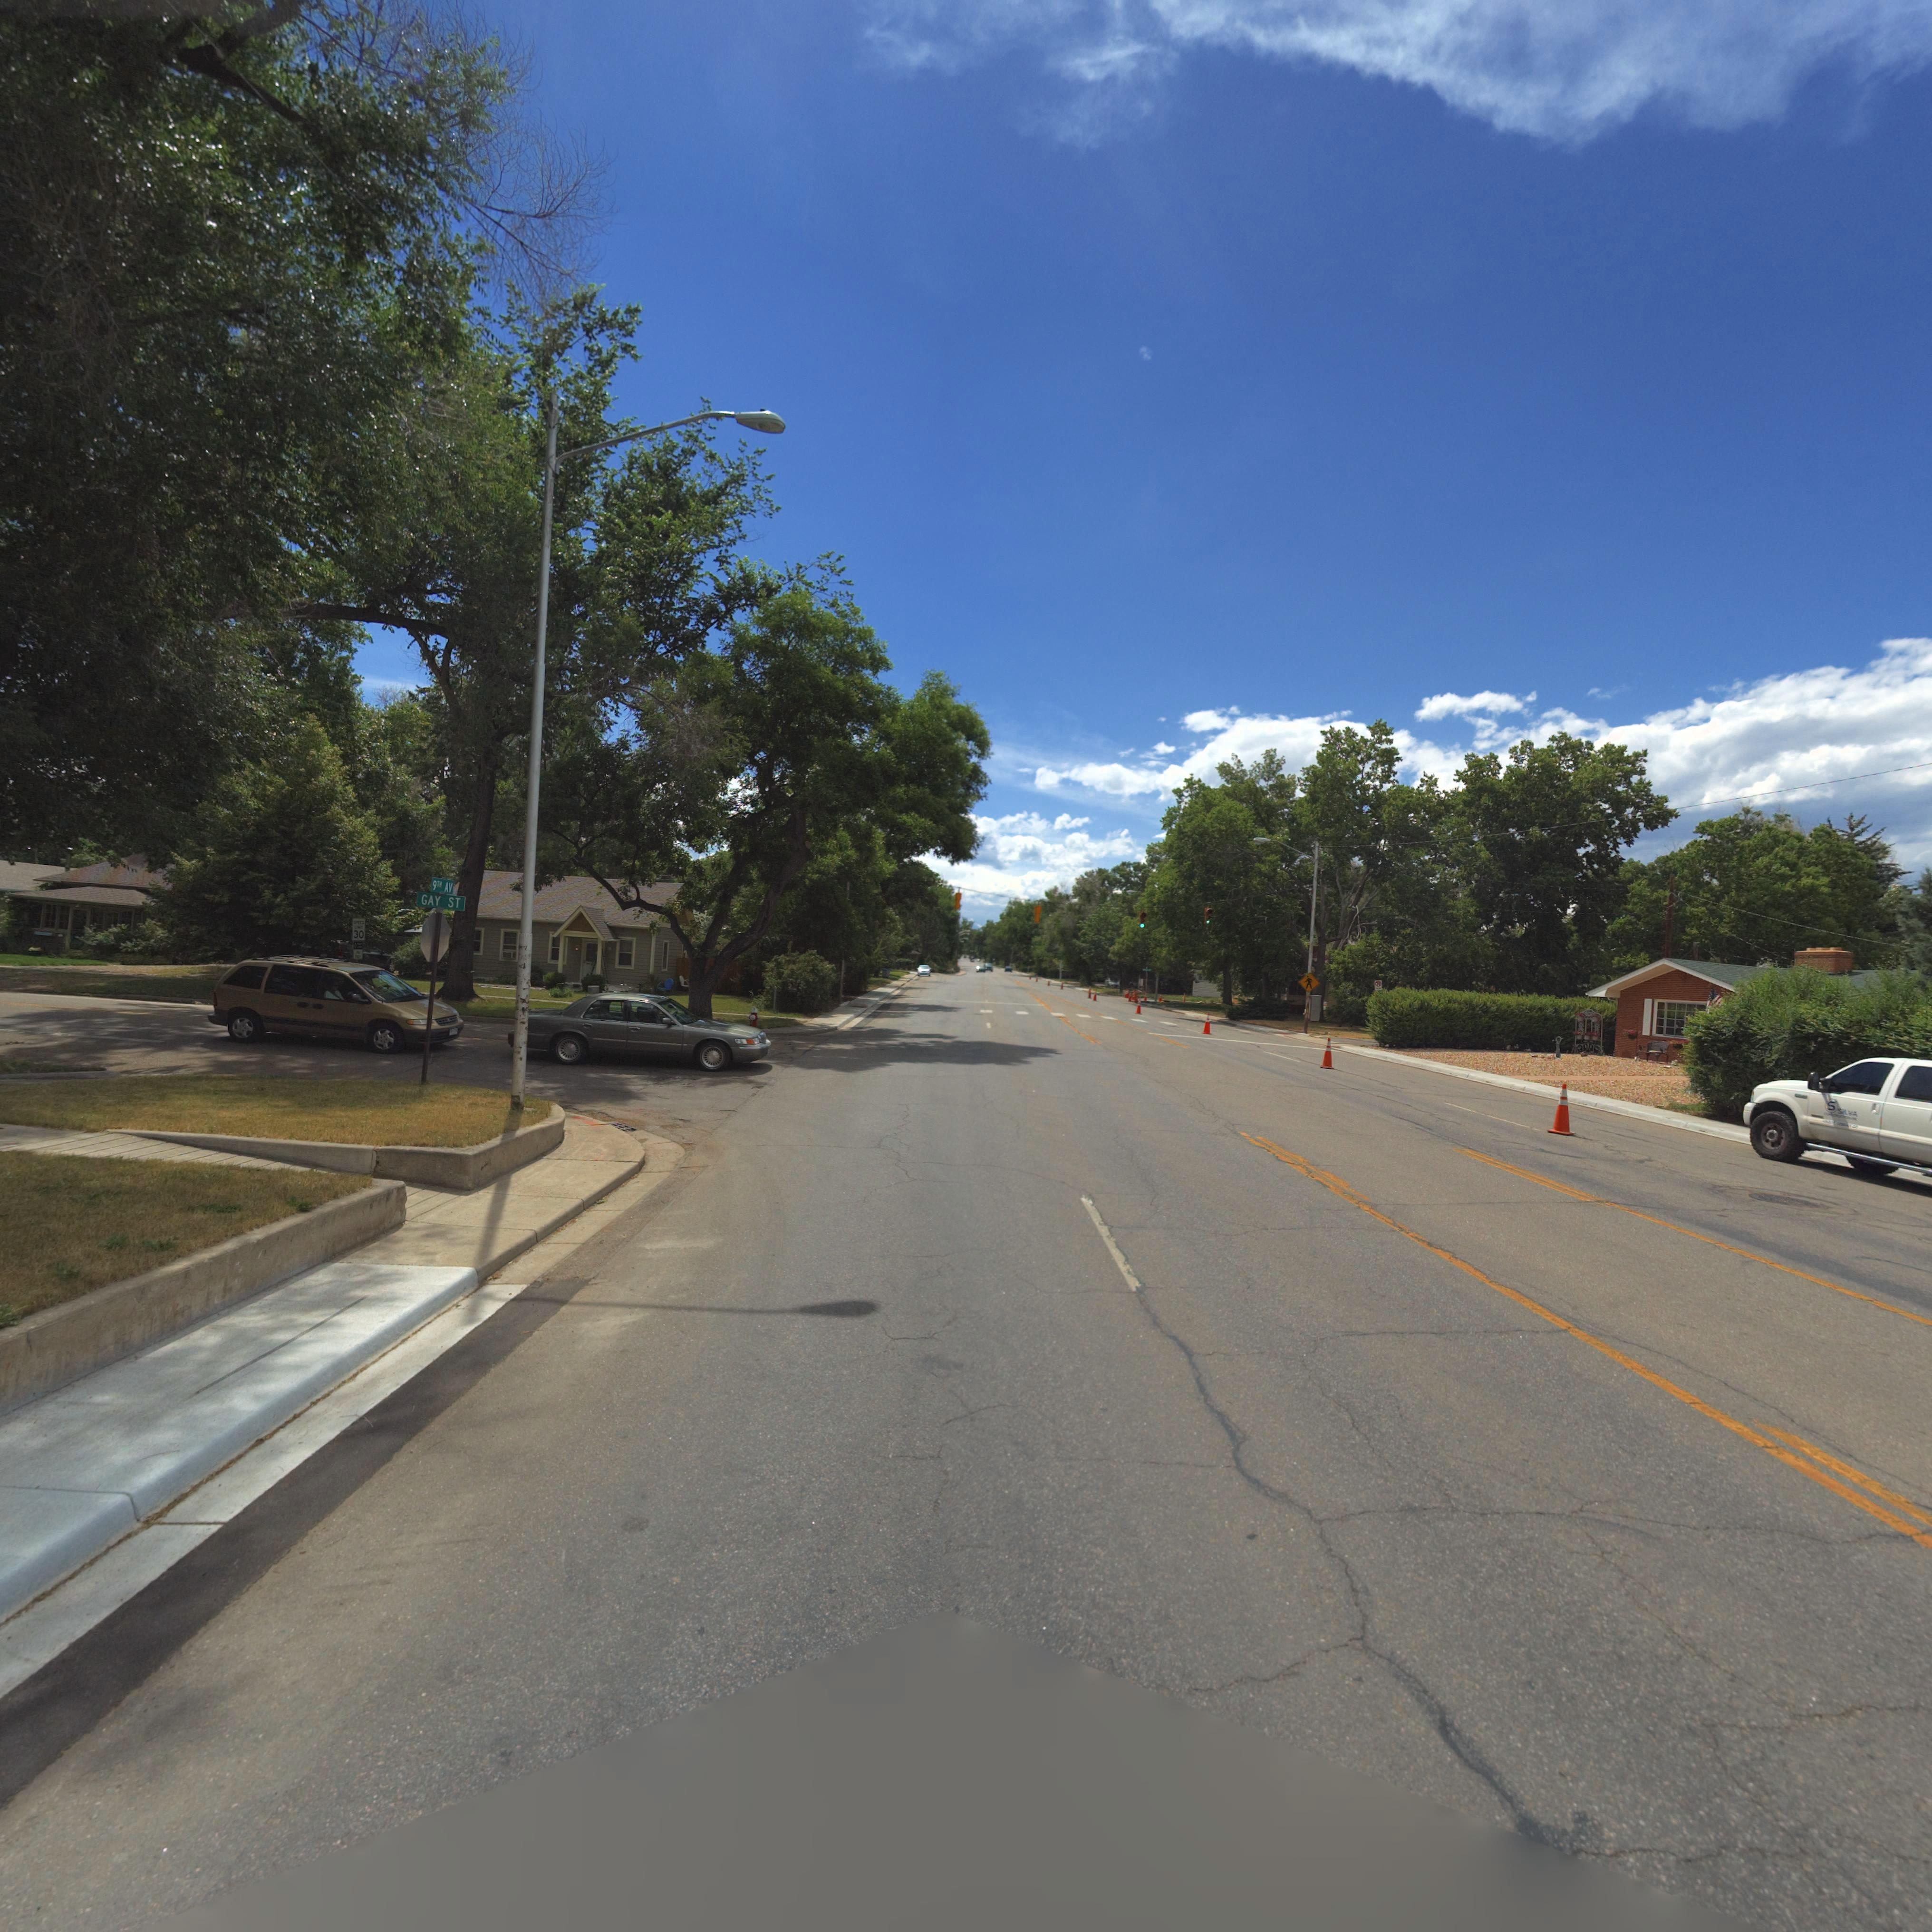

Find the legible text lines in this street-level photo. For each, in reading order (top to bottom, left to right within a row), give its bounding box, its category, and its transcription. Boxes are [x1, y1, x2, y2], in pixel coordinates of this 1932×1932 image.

[432, 879, 454, 893] StreetName: 9TH AV
[420, 894, 461, 908] StreetName: GAY ST